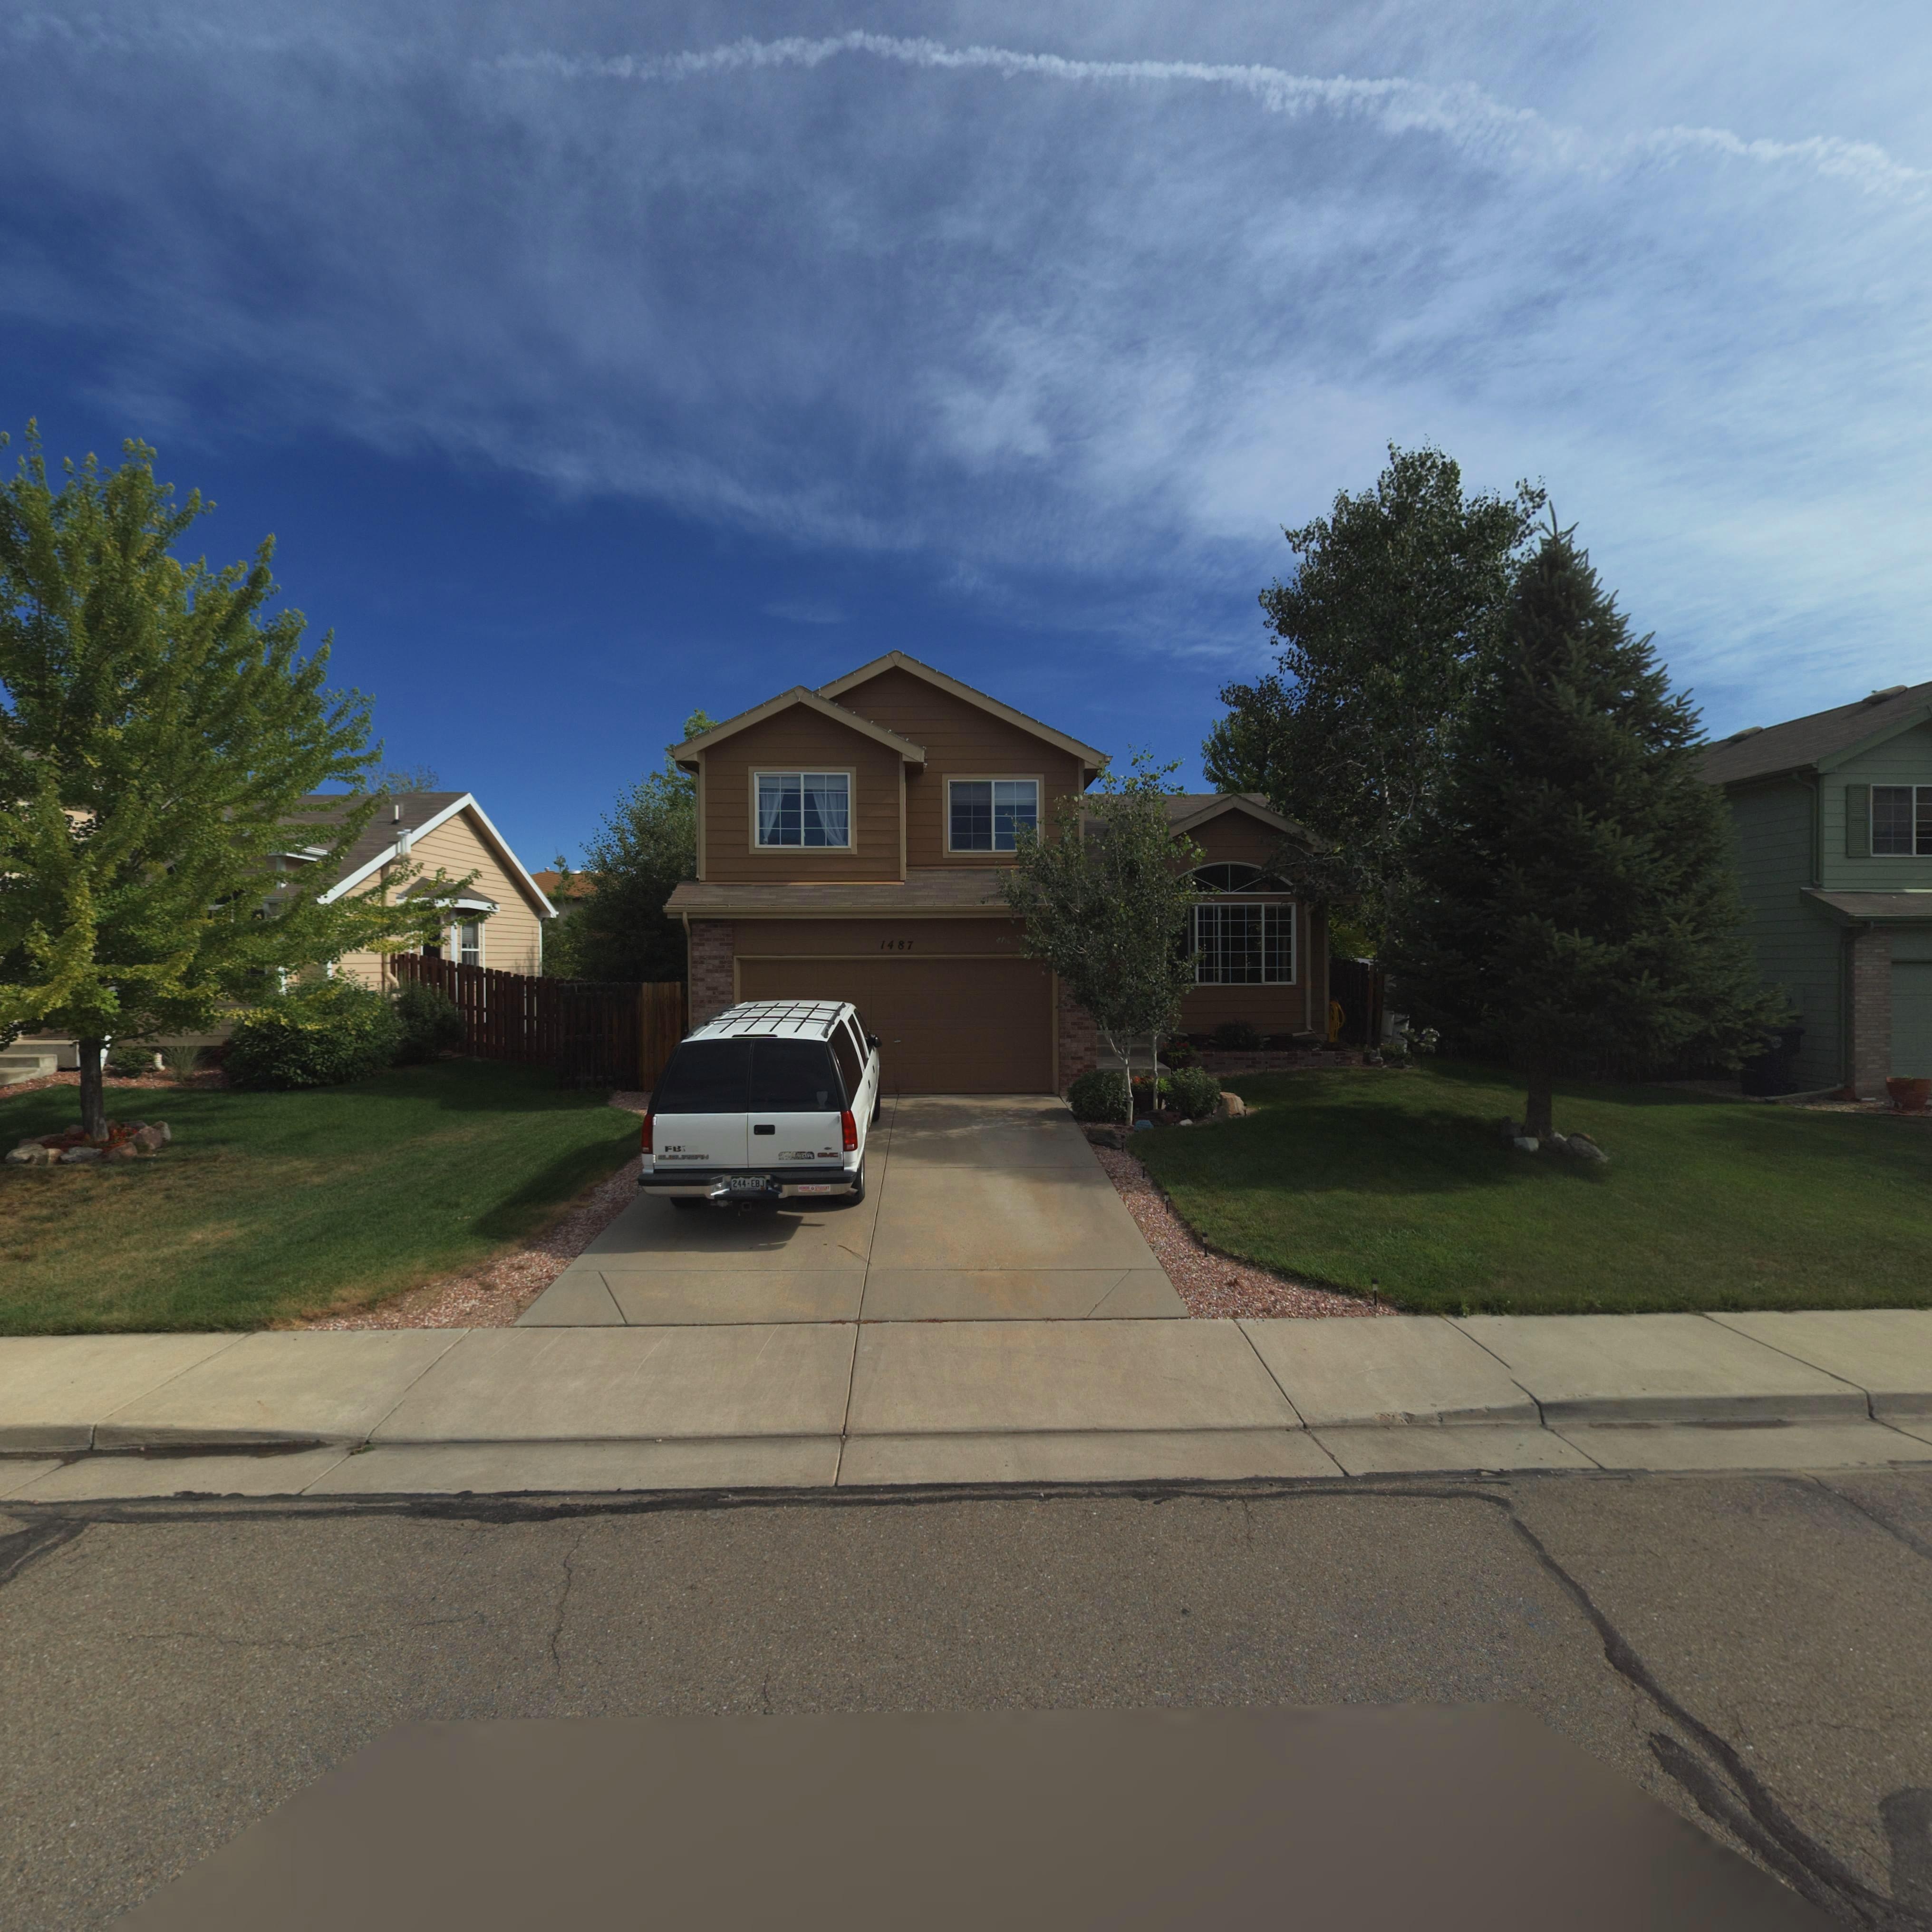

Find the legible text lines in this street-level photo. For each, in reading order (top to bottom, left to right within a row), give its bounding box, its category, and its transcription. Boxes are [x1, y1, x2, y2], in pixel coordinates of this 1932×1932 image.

[879, 939, 914, 950] StreetNumber: 1487